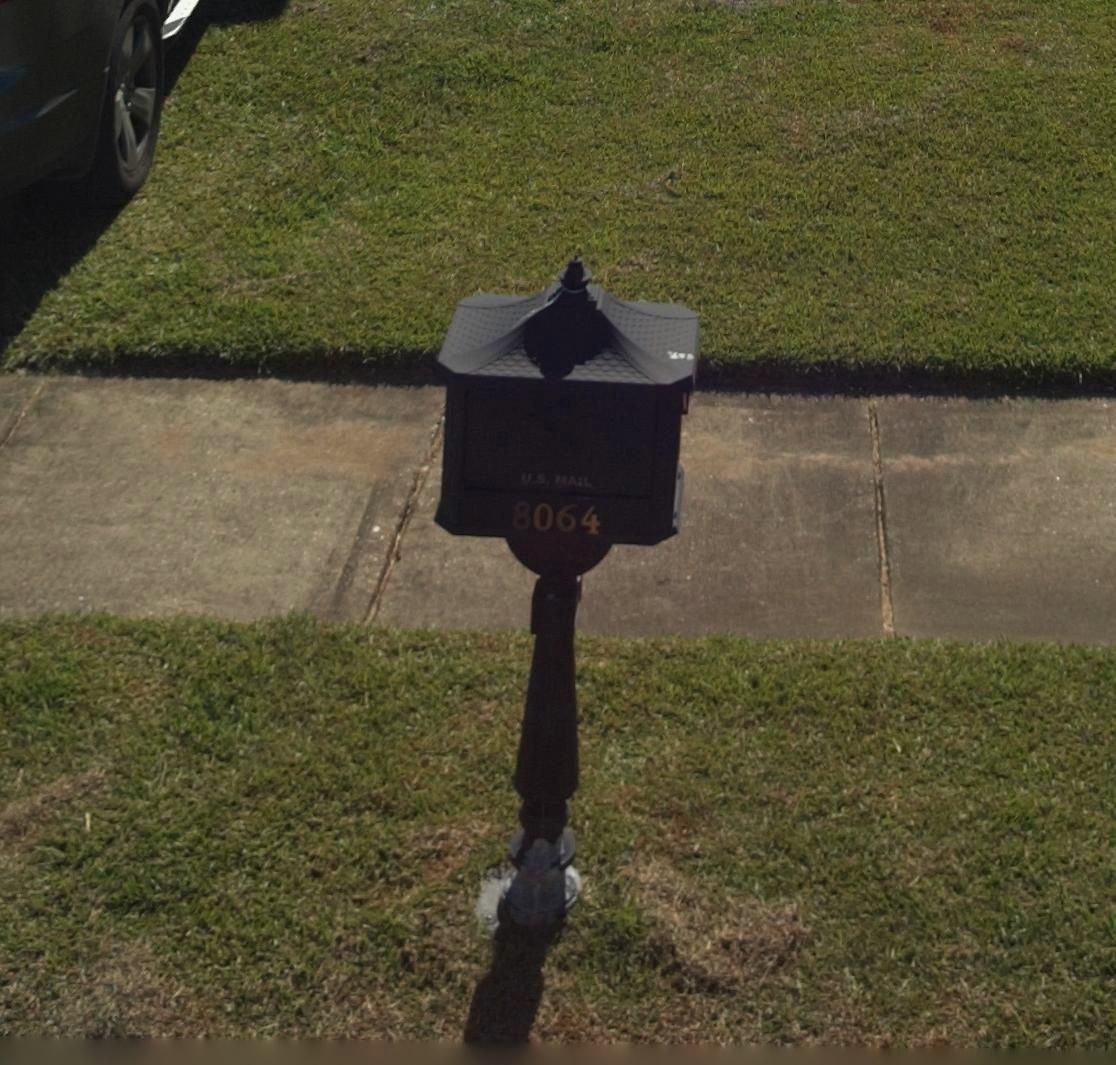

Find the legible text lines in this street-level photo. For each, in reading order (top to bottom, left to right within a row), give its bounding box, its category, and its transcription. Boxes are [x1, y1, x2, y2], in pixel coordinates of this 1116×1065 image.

[517, 469, 595, 490] None: U.S. MAIL
[507, 495, 606, 542] StreetNumber: 8064